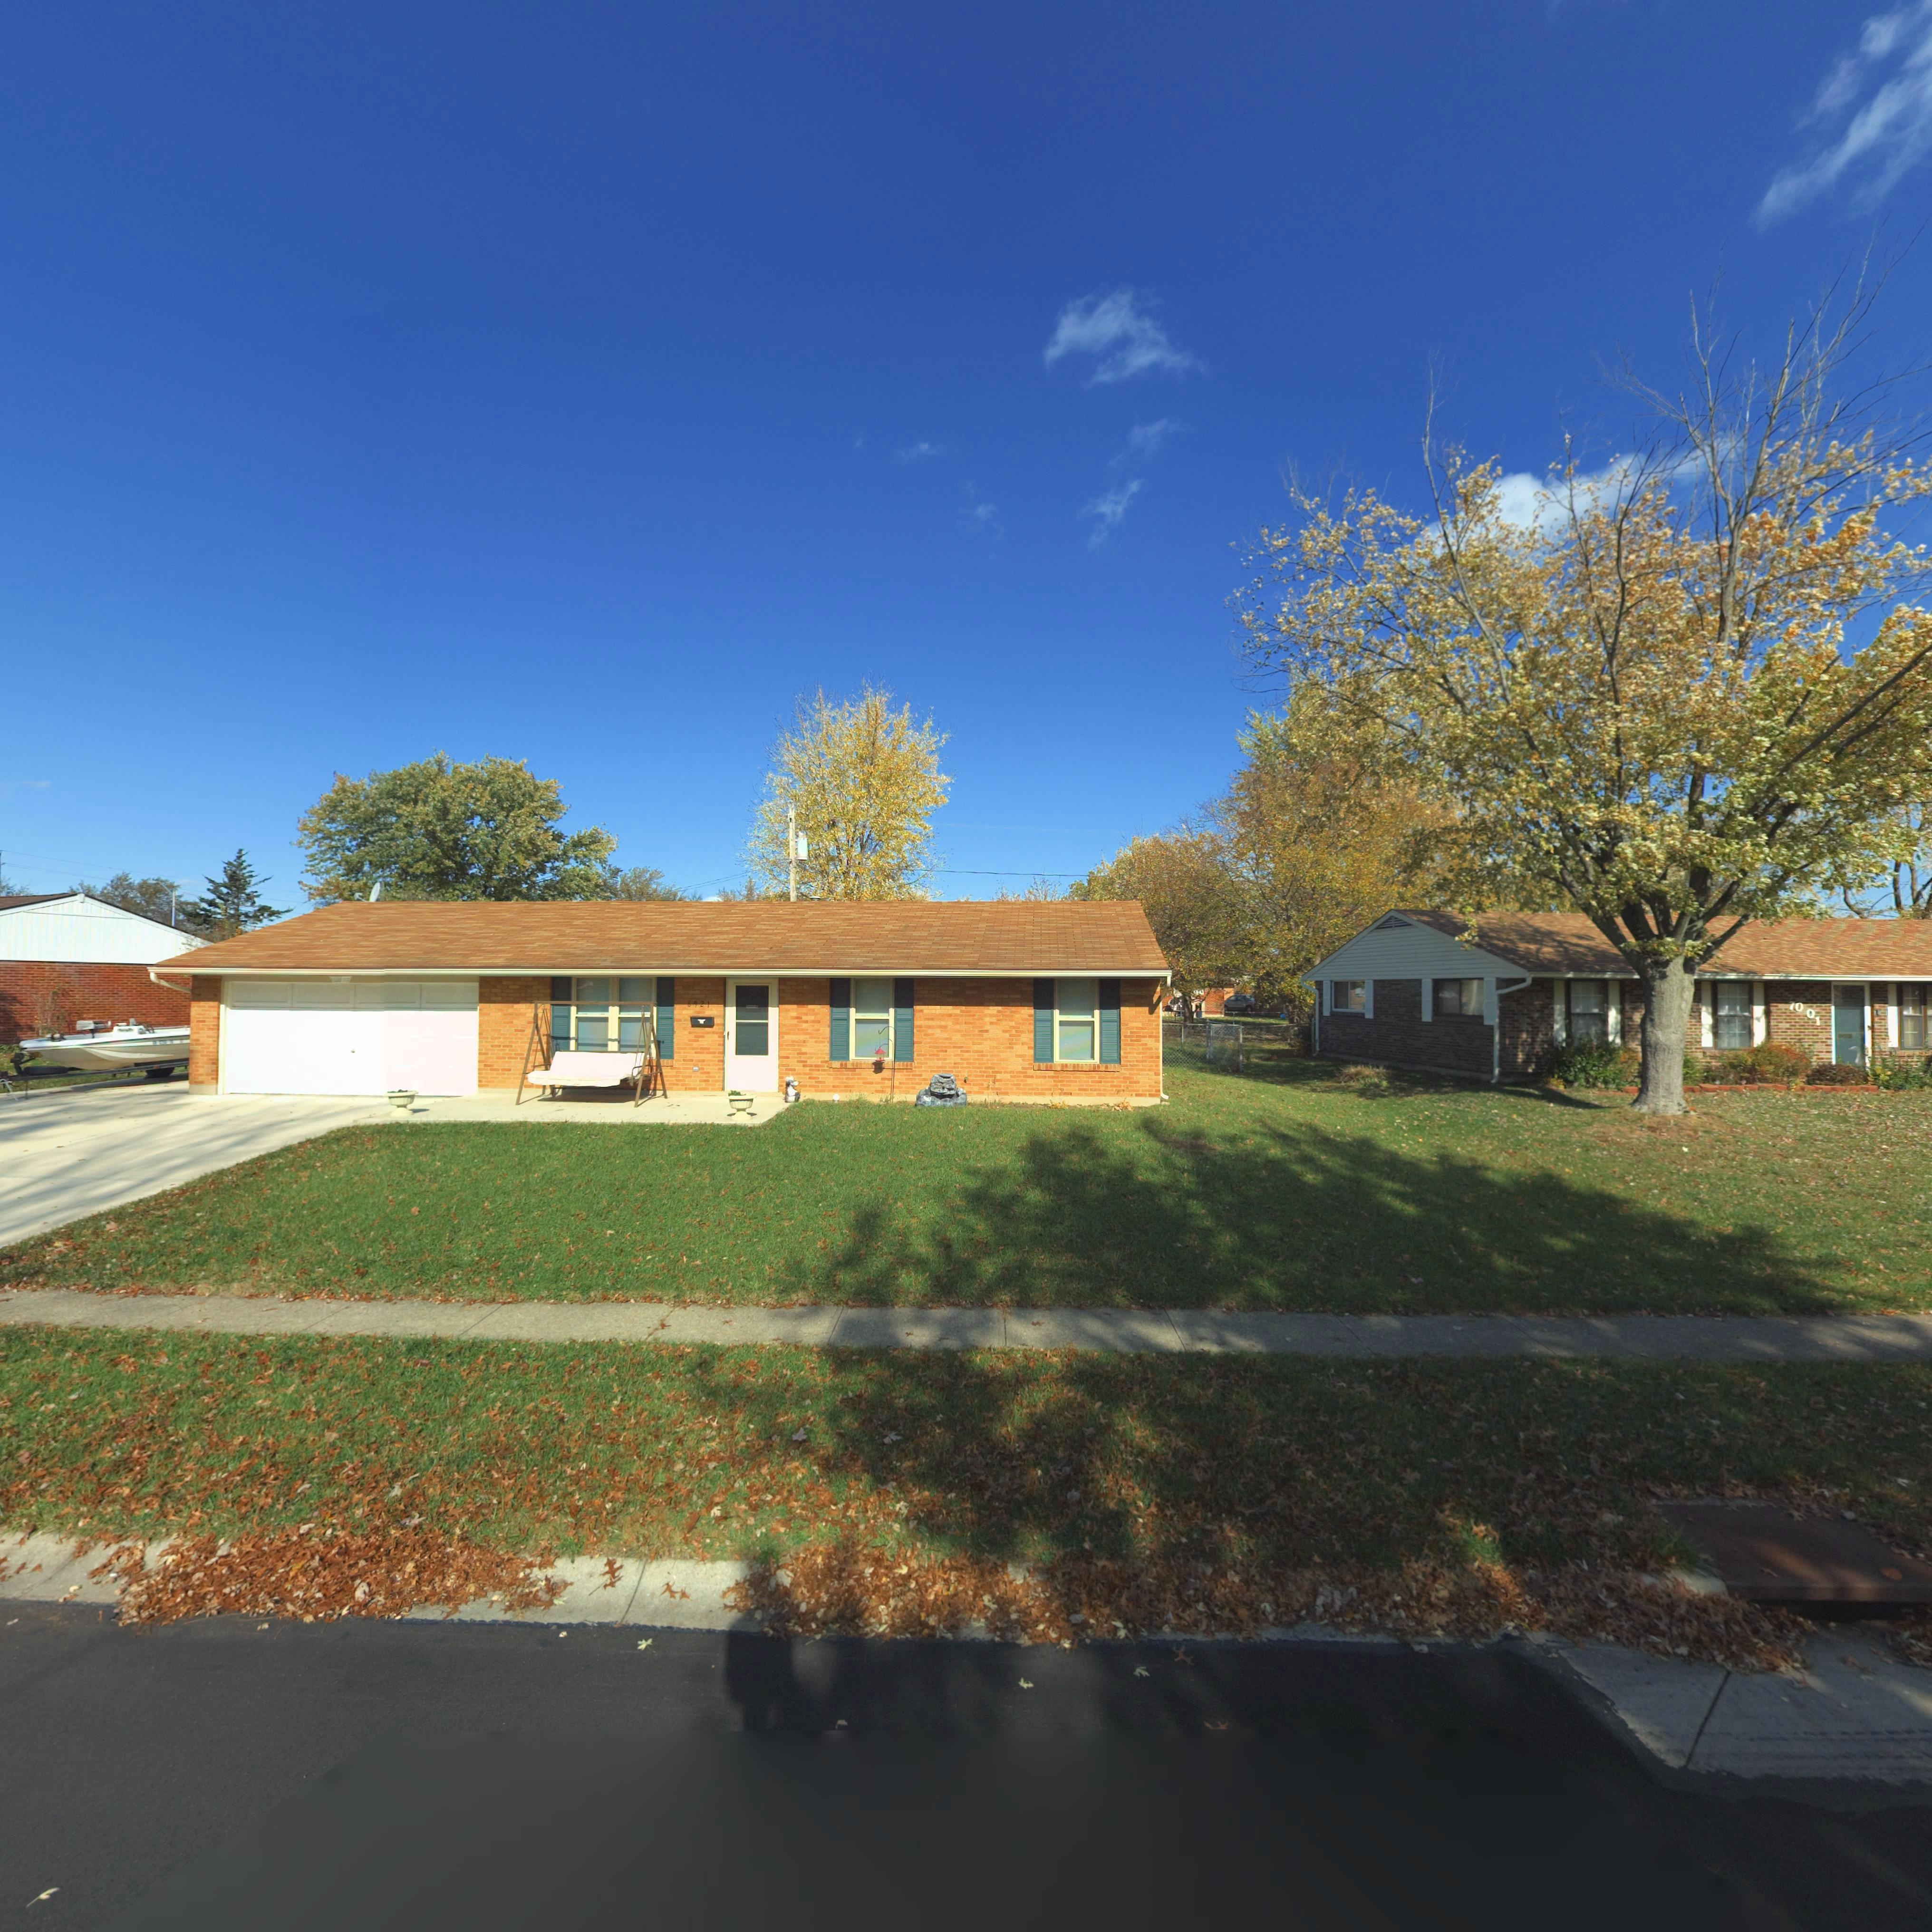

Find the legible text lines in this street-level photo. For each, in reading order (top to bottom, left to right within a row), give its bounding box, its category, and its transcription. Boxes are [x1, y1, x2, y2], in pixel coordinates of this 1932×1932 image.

[686, 999, 710, 1009] StreetNumber: 6921
[1787, 1000, 1822, 1028] StreetNumber: 7001